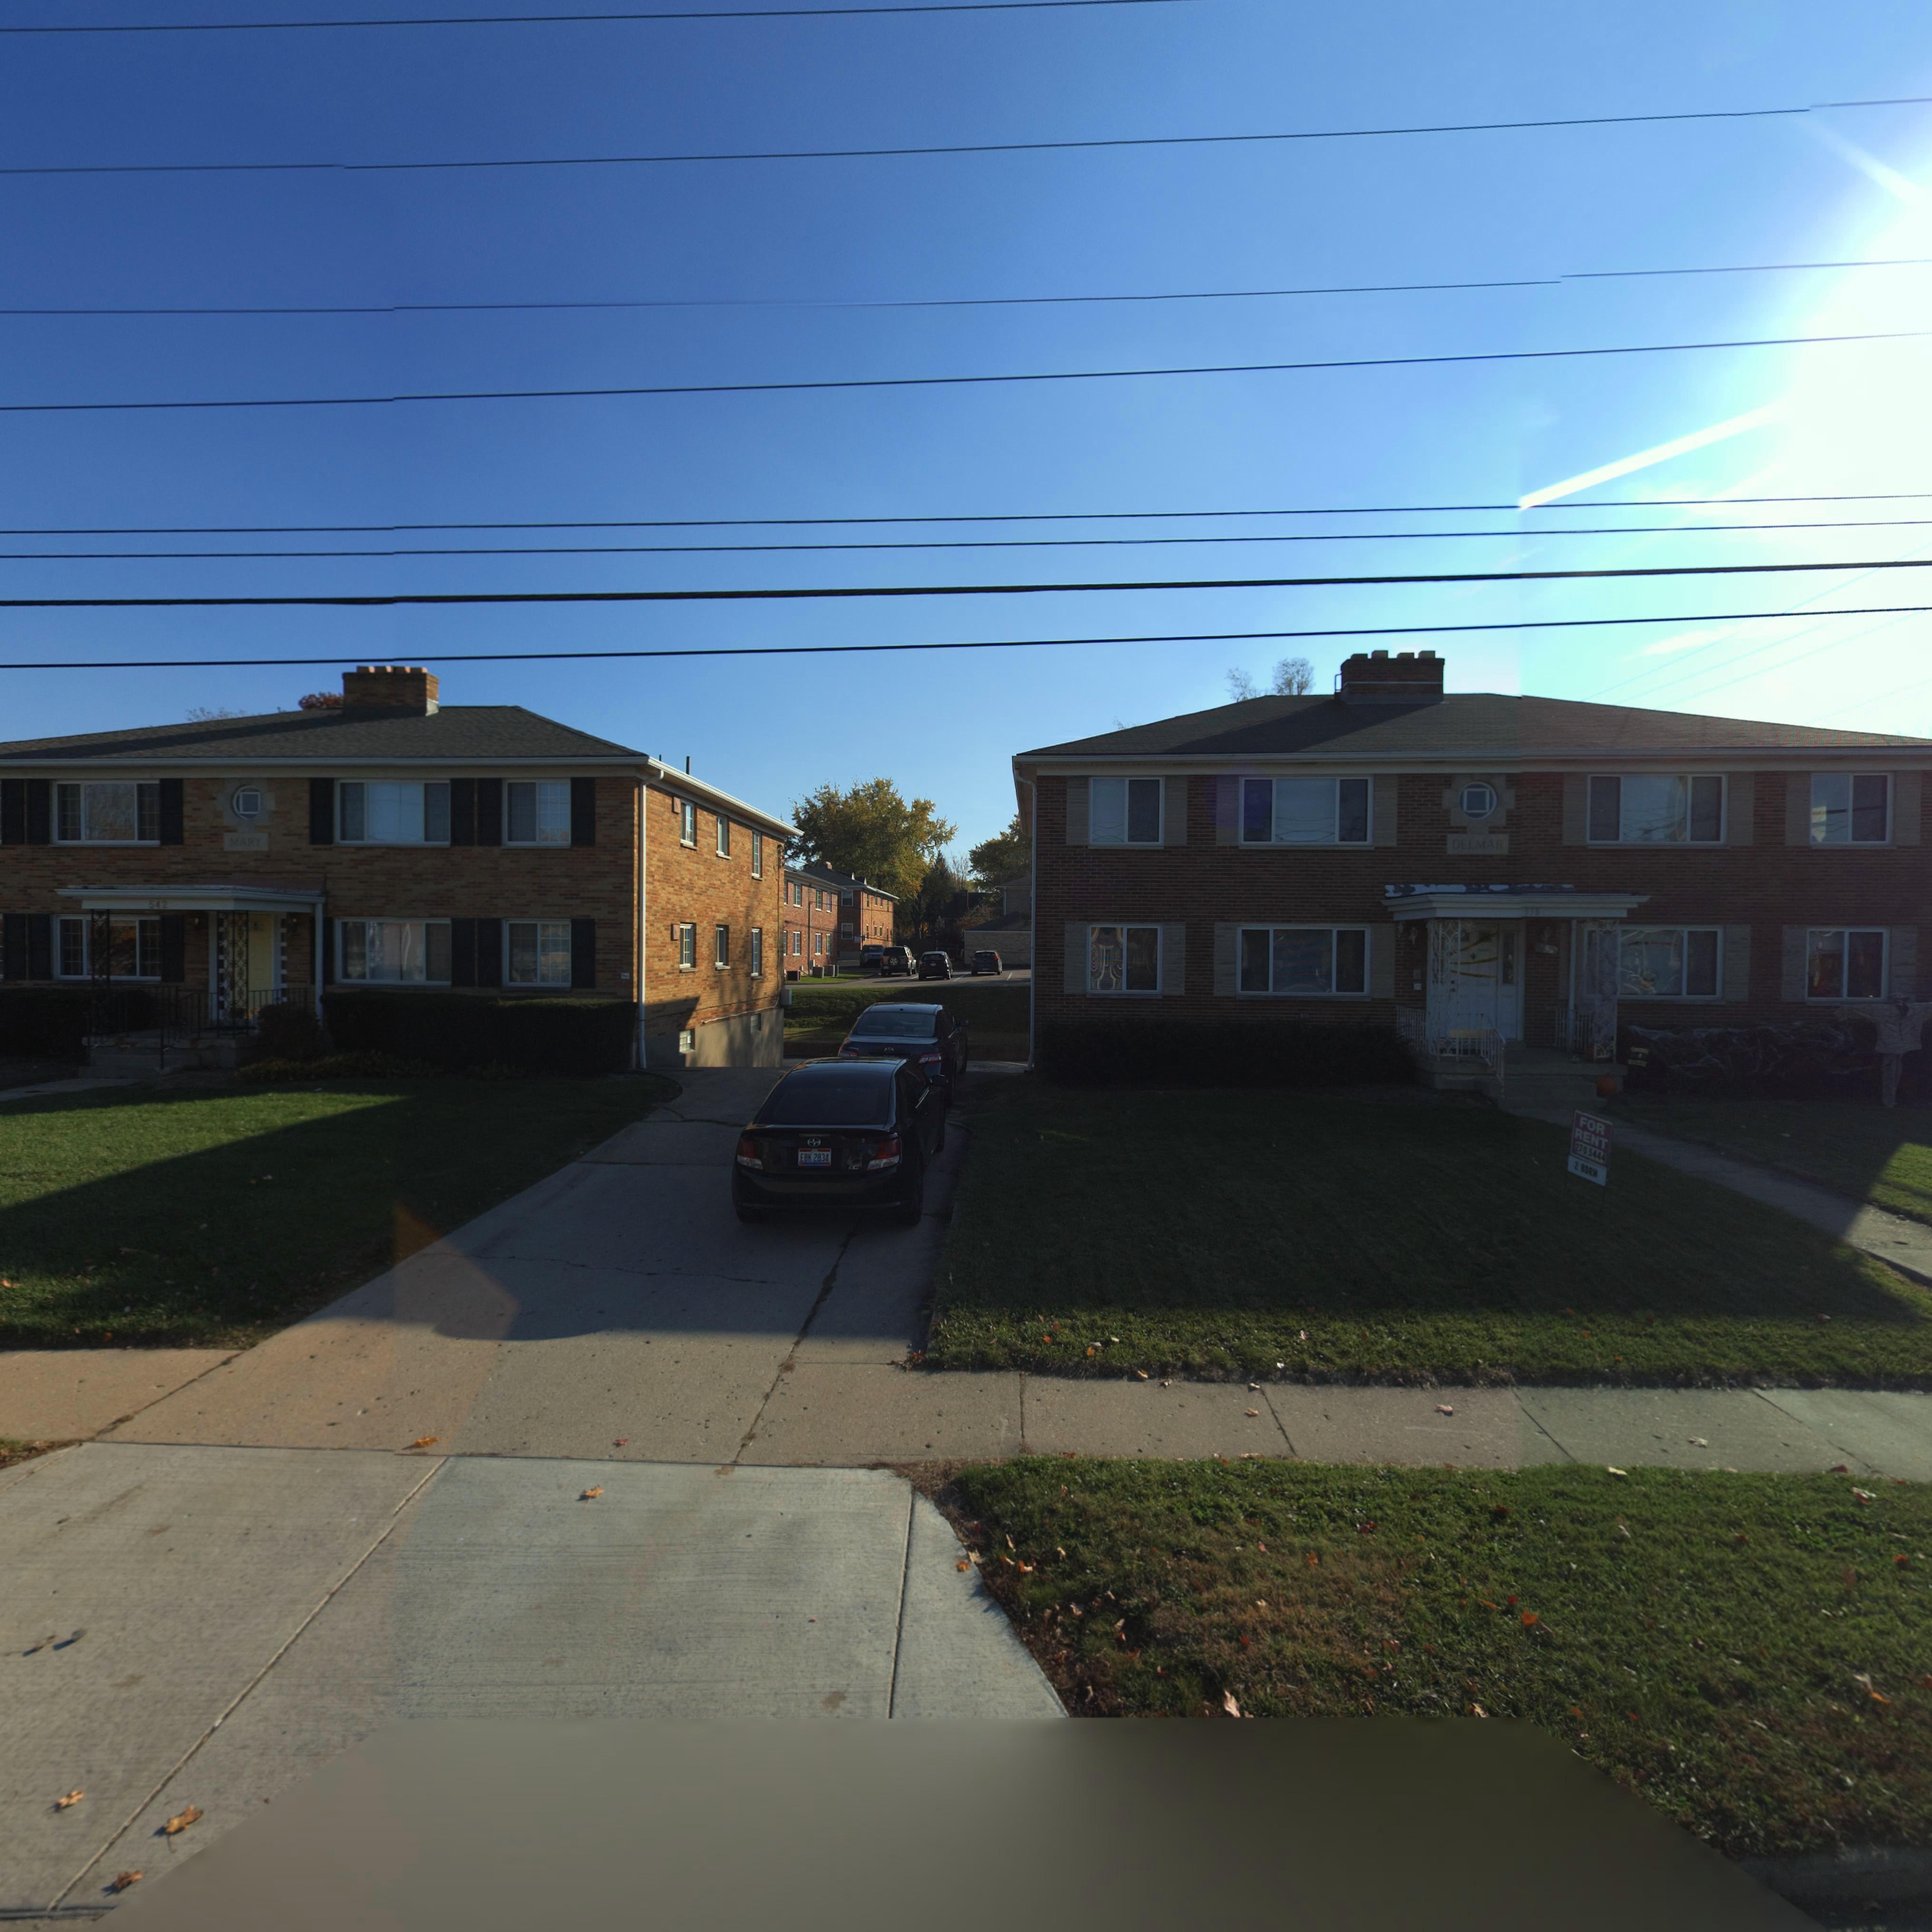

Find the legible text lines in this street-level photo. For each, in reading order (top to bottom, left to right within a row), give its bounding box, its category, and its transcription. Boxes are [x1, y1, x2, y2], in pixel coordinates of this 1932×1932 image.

[148, 899, 168, 909] StreetNumber: 542
[1524, 907, 1540, 917] StreetNumber: 538